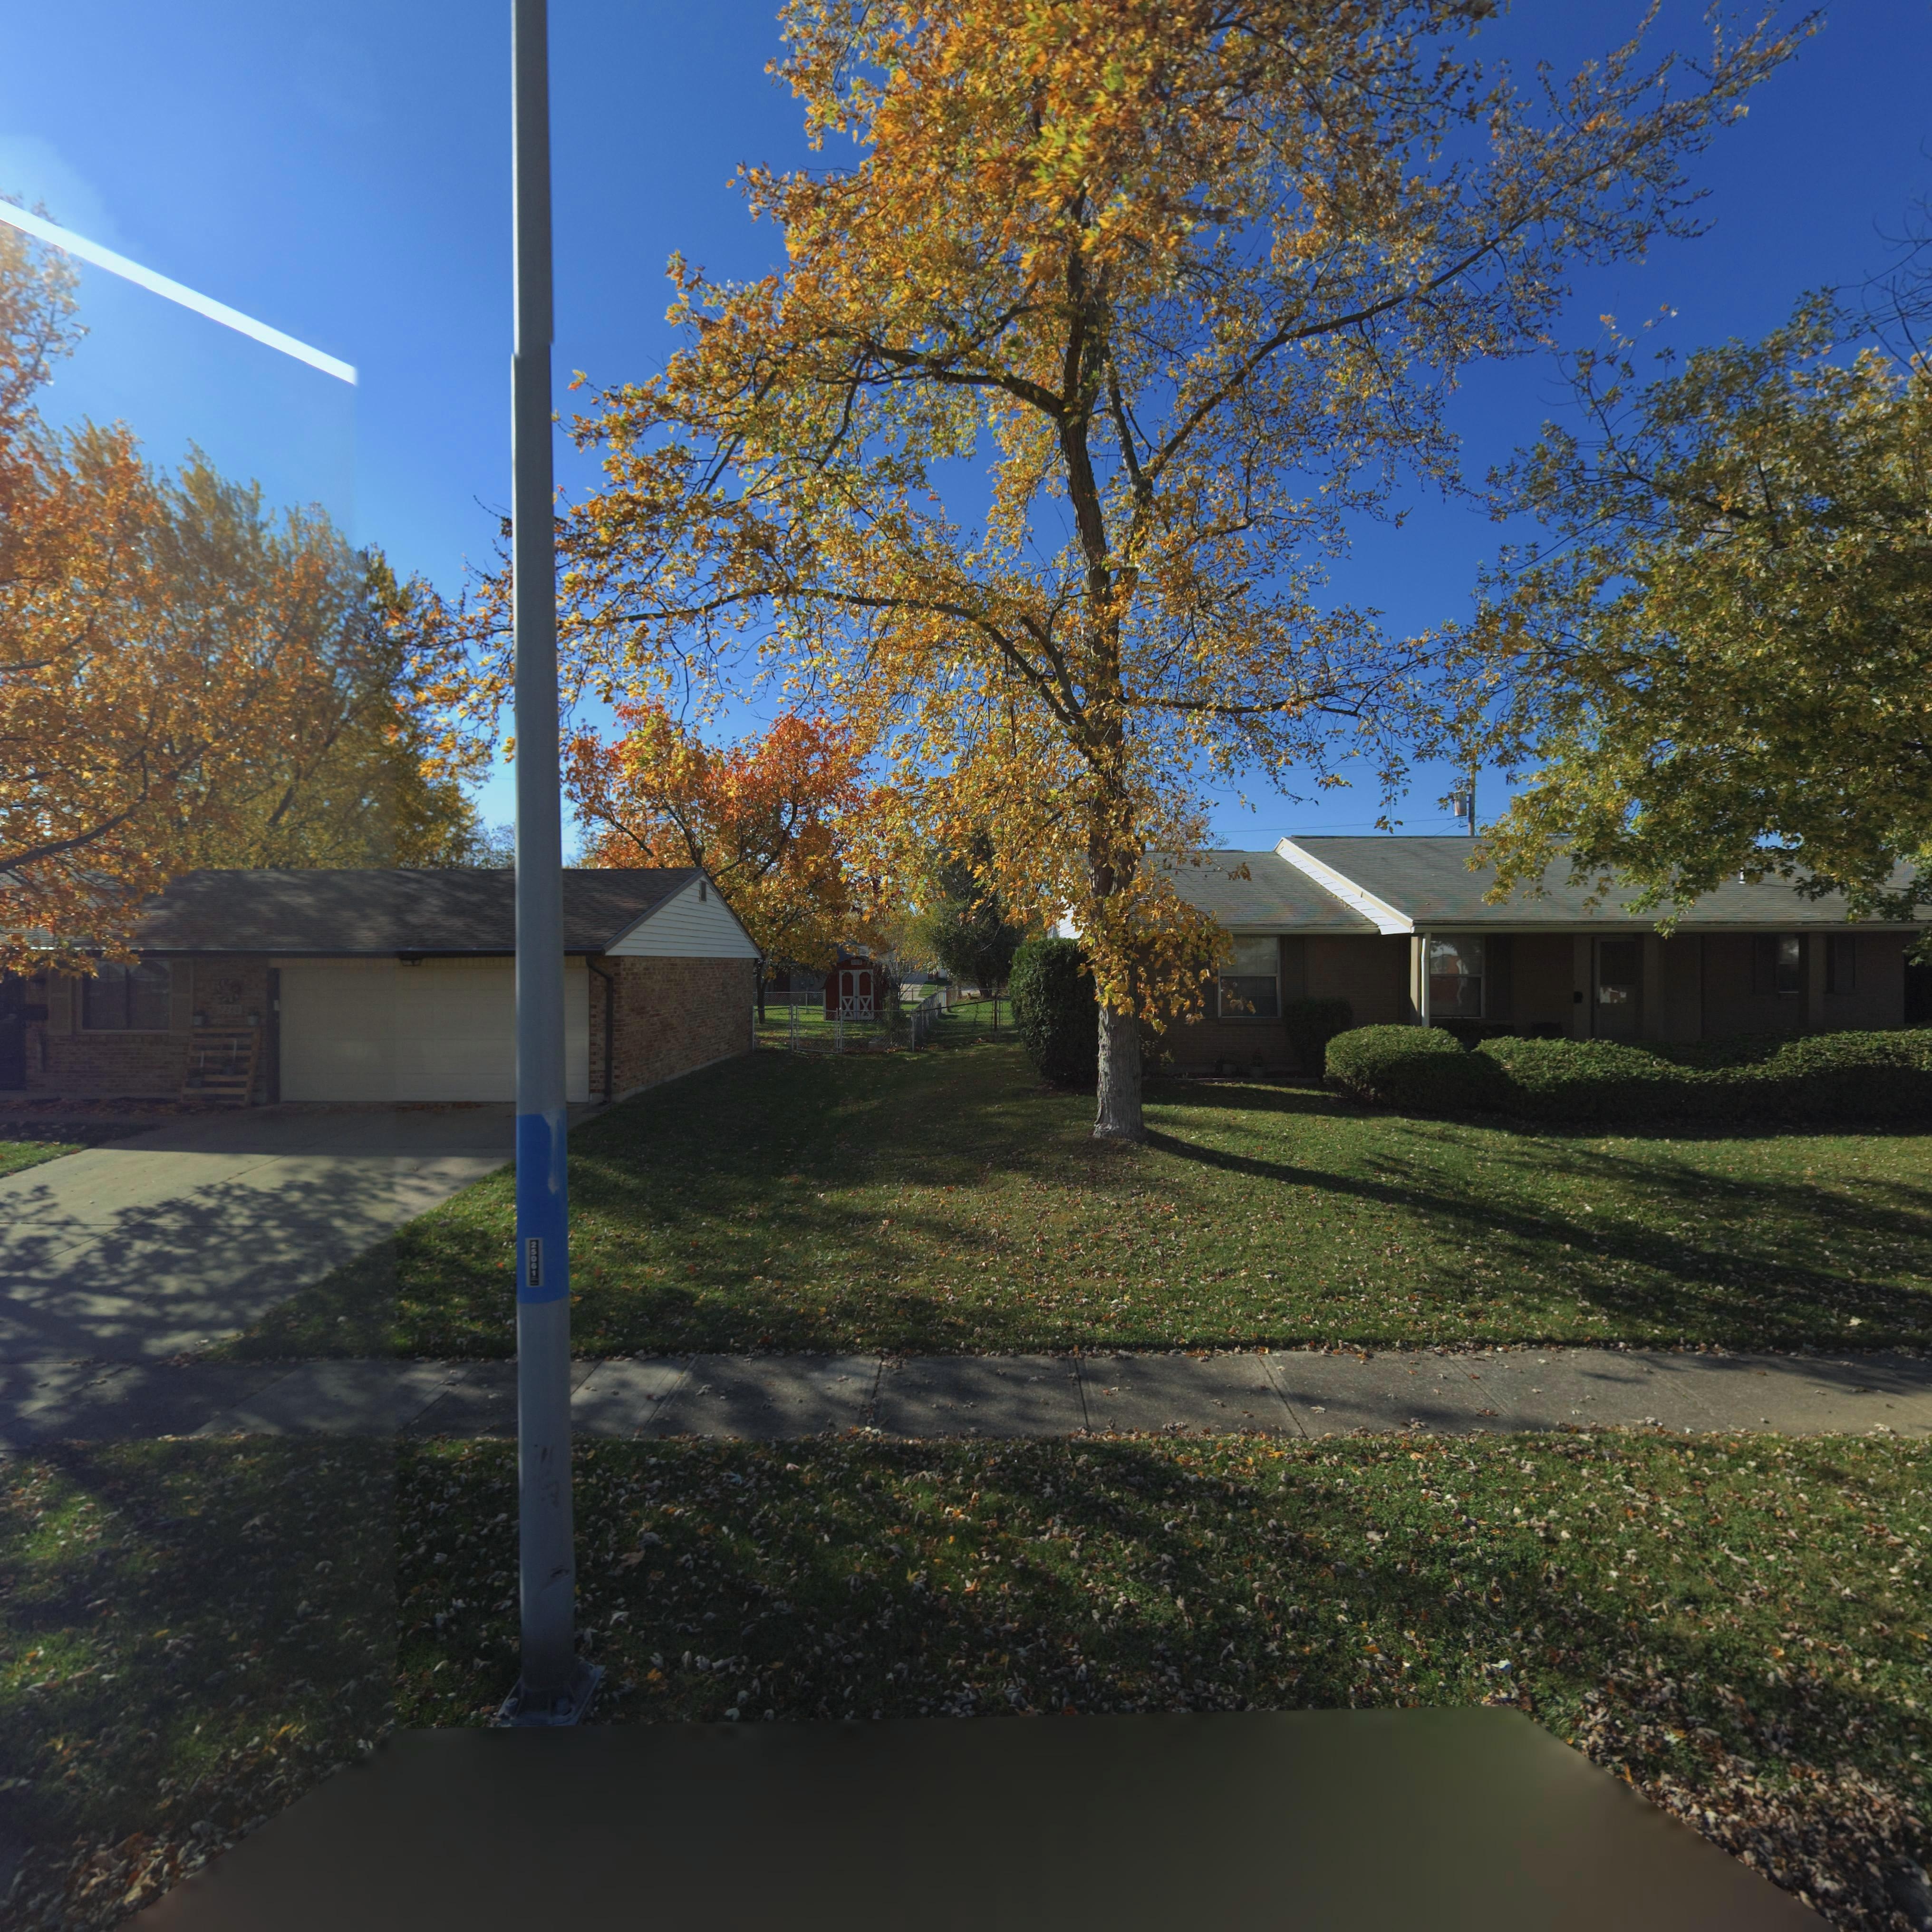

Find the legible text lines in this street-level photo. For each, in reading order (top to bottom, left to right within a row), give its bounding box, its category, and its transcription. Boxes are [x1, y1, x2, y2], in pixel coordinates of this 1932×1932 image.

[218, 1005, 241, 1014] StreetNumber: *2**